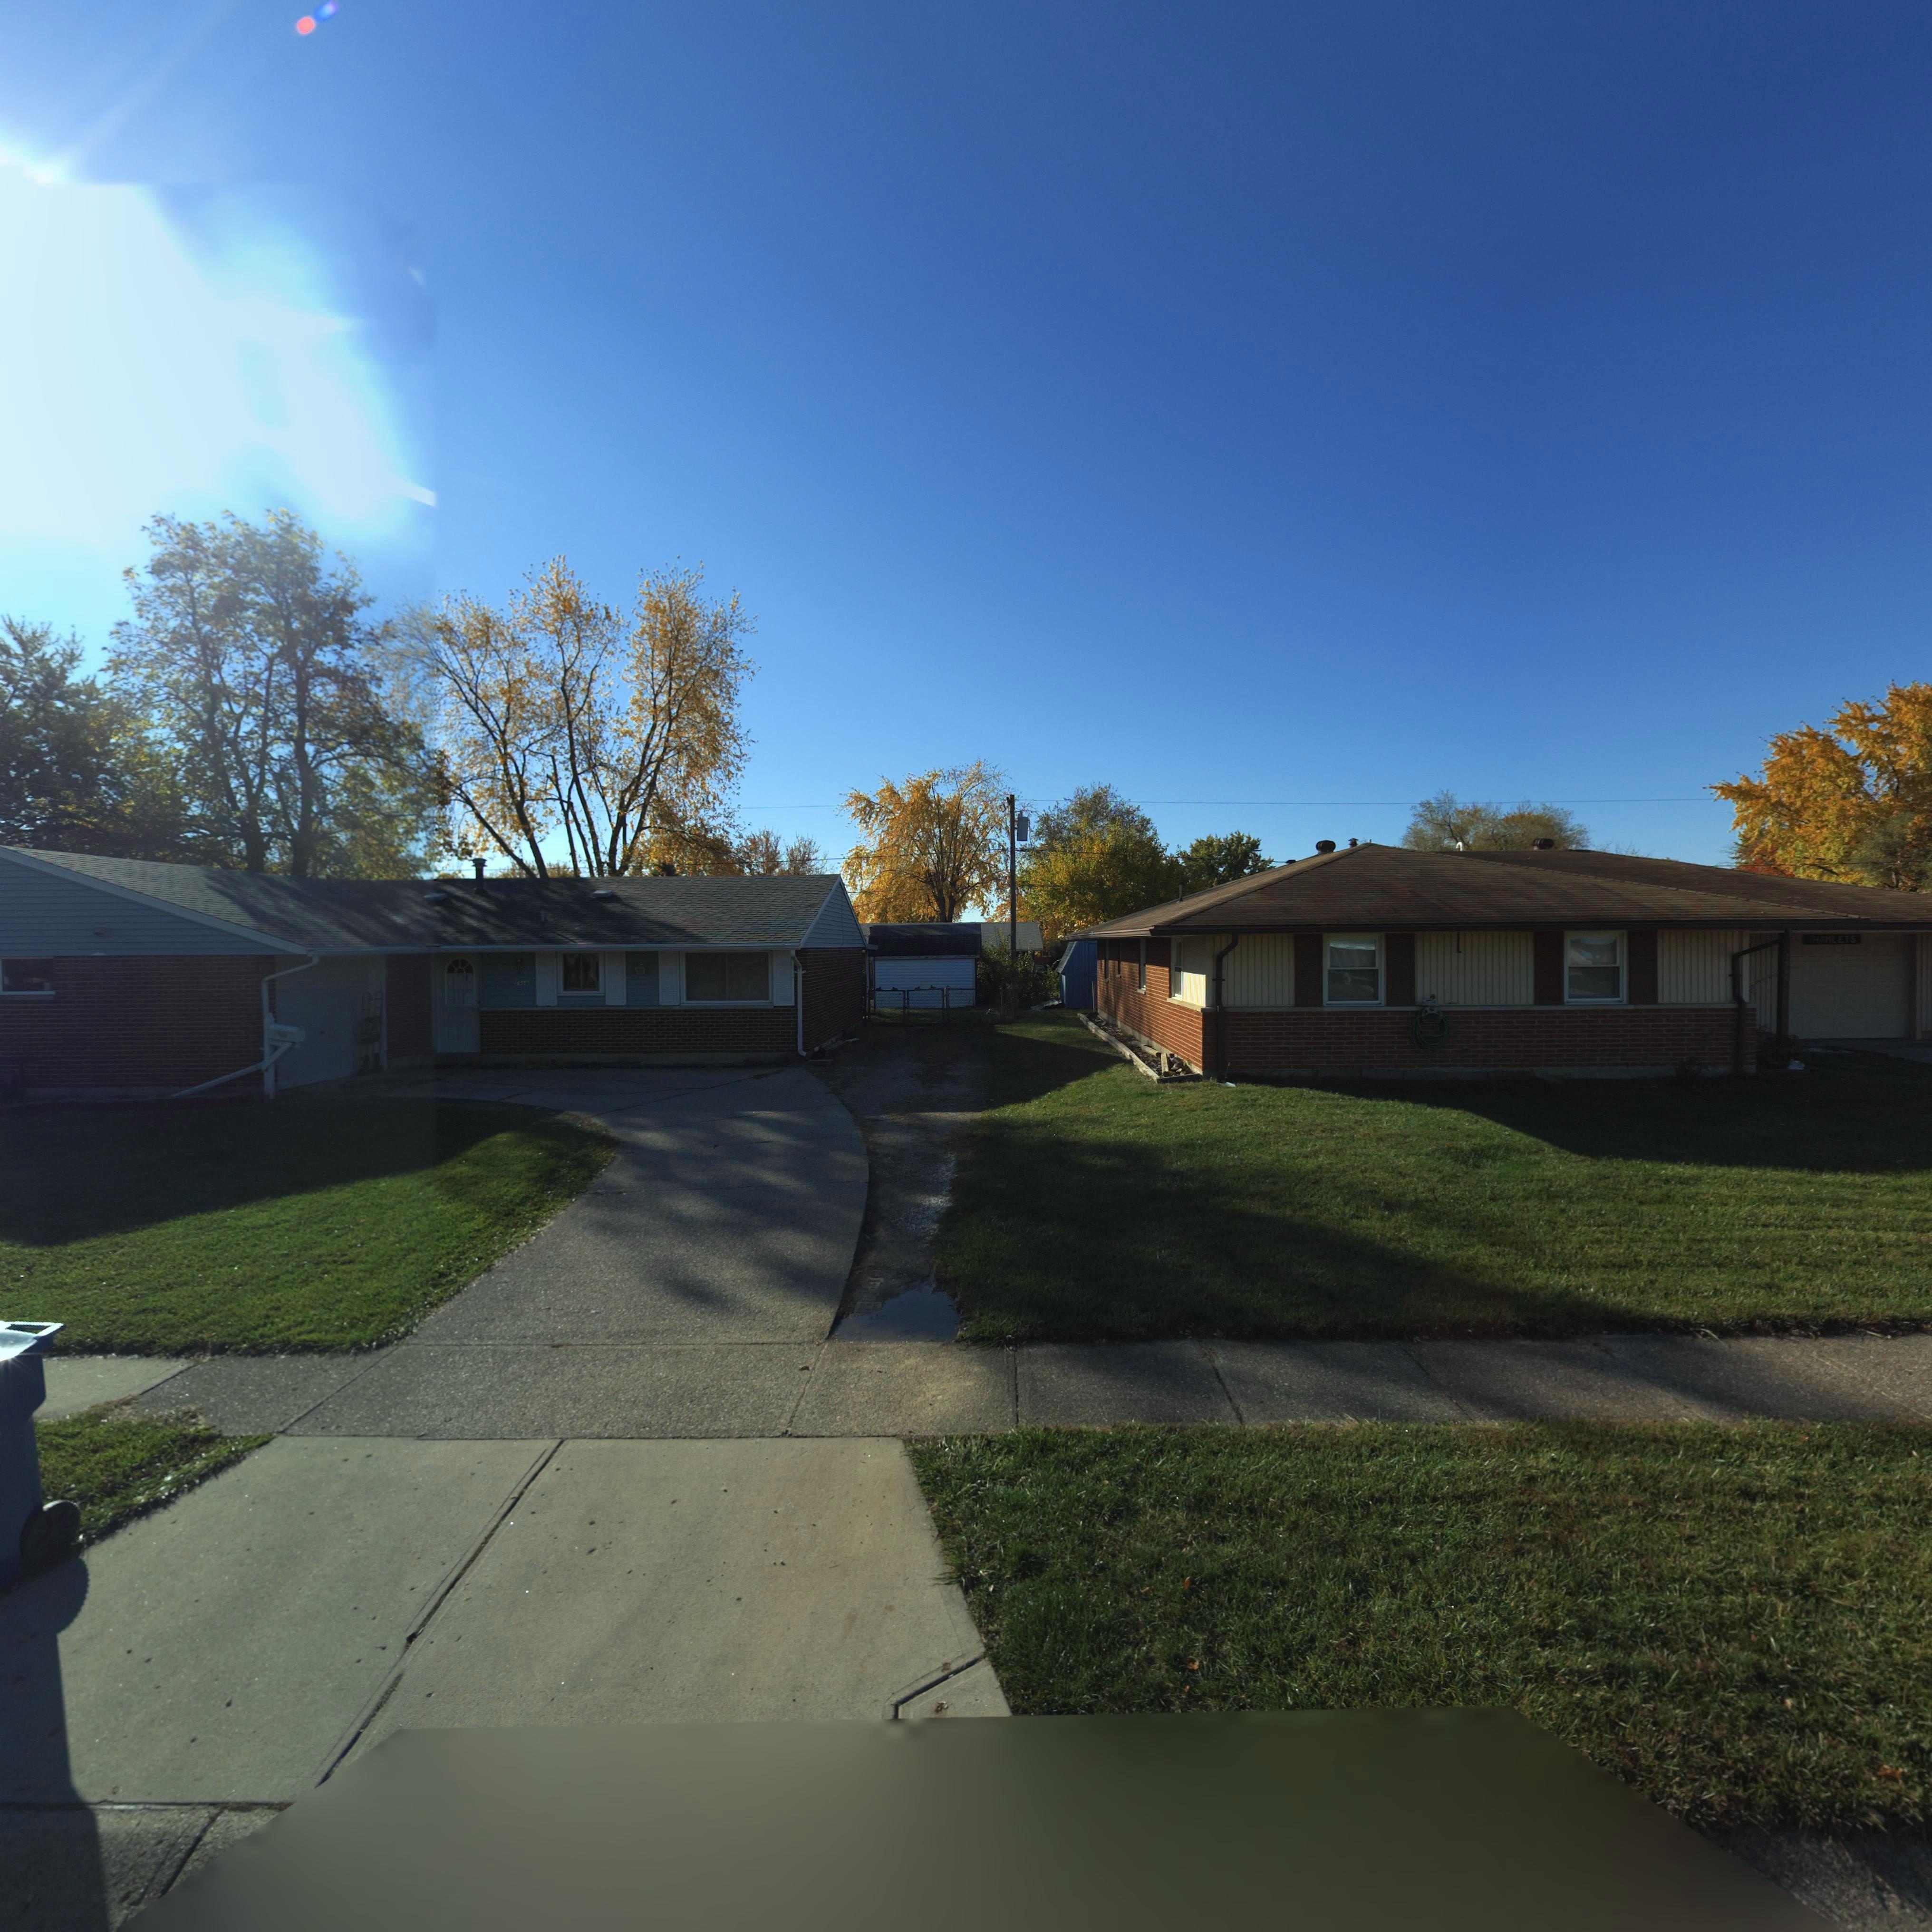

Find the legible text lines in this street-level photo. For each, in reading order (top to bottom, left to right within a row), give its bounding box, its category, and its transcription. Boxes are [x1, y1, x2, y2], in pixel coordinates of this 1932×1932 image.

[1783, 952, 1790, 983] StreetNumber: *960
[514, 980, 529, 986] StreetNumber: 7966
[271, 1029, 290, 1040] StreetNumber: *9**